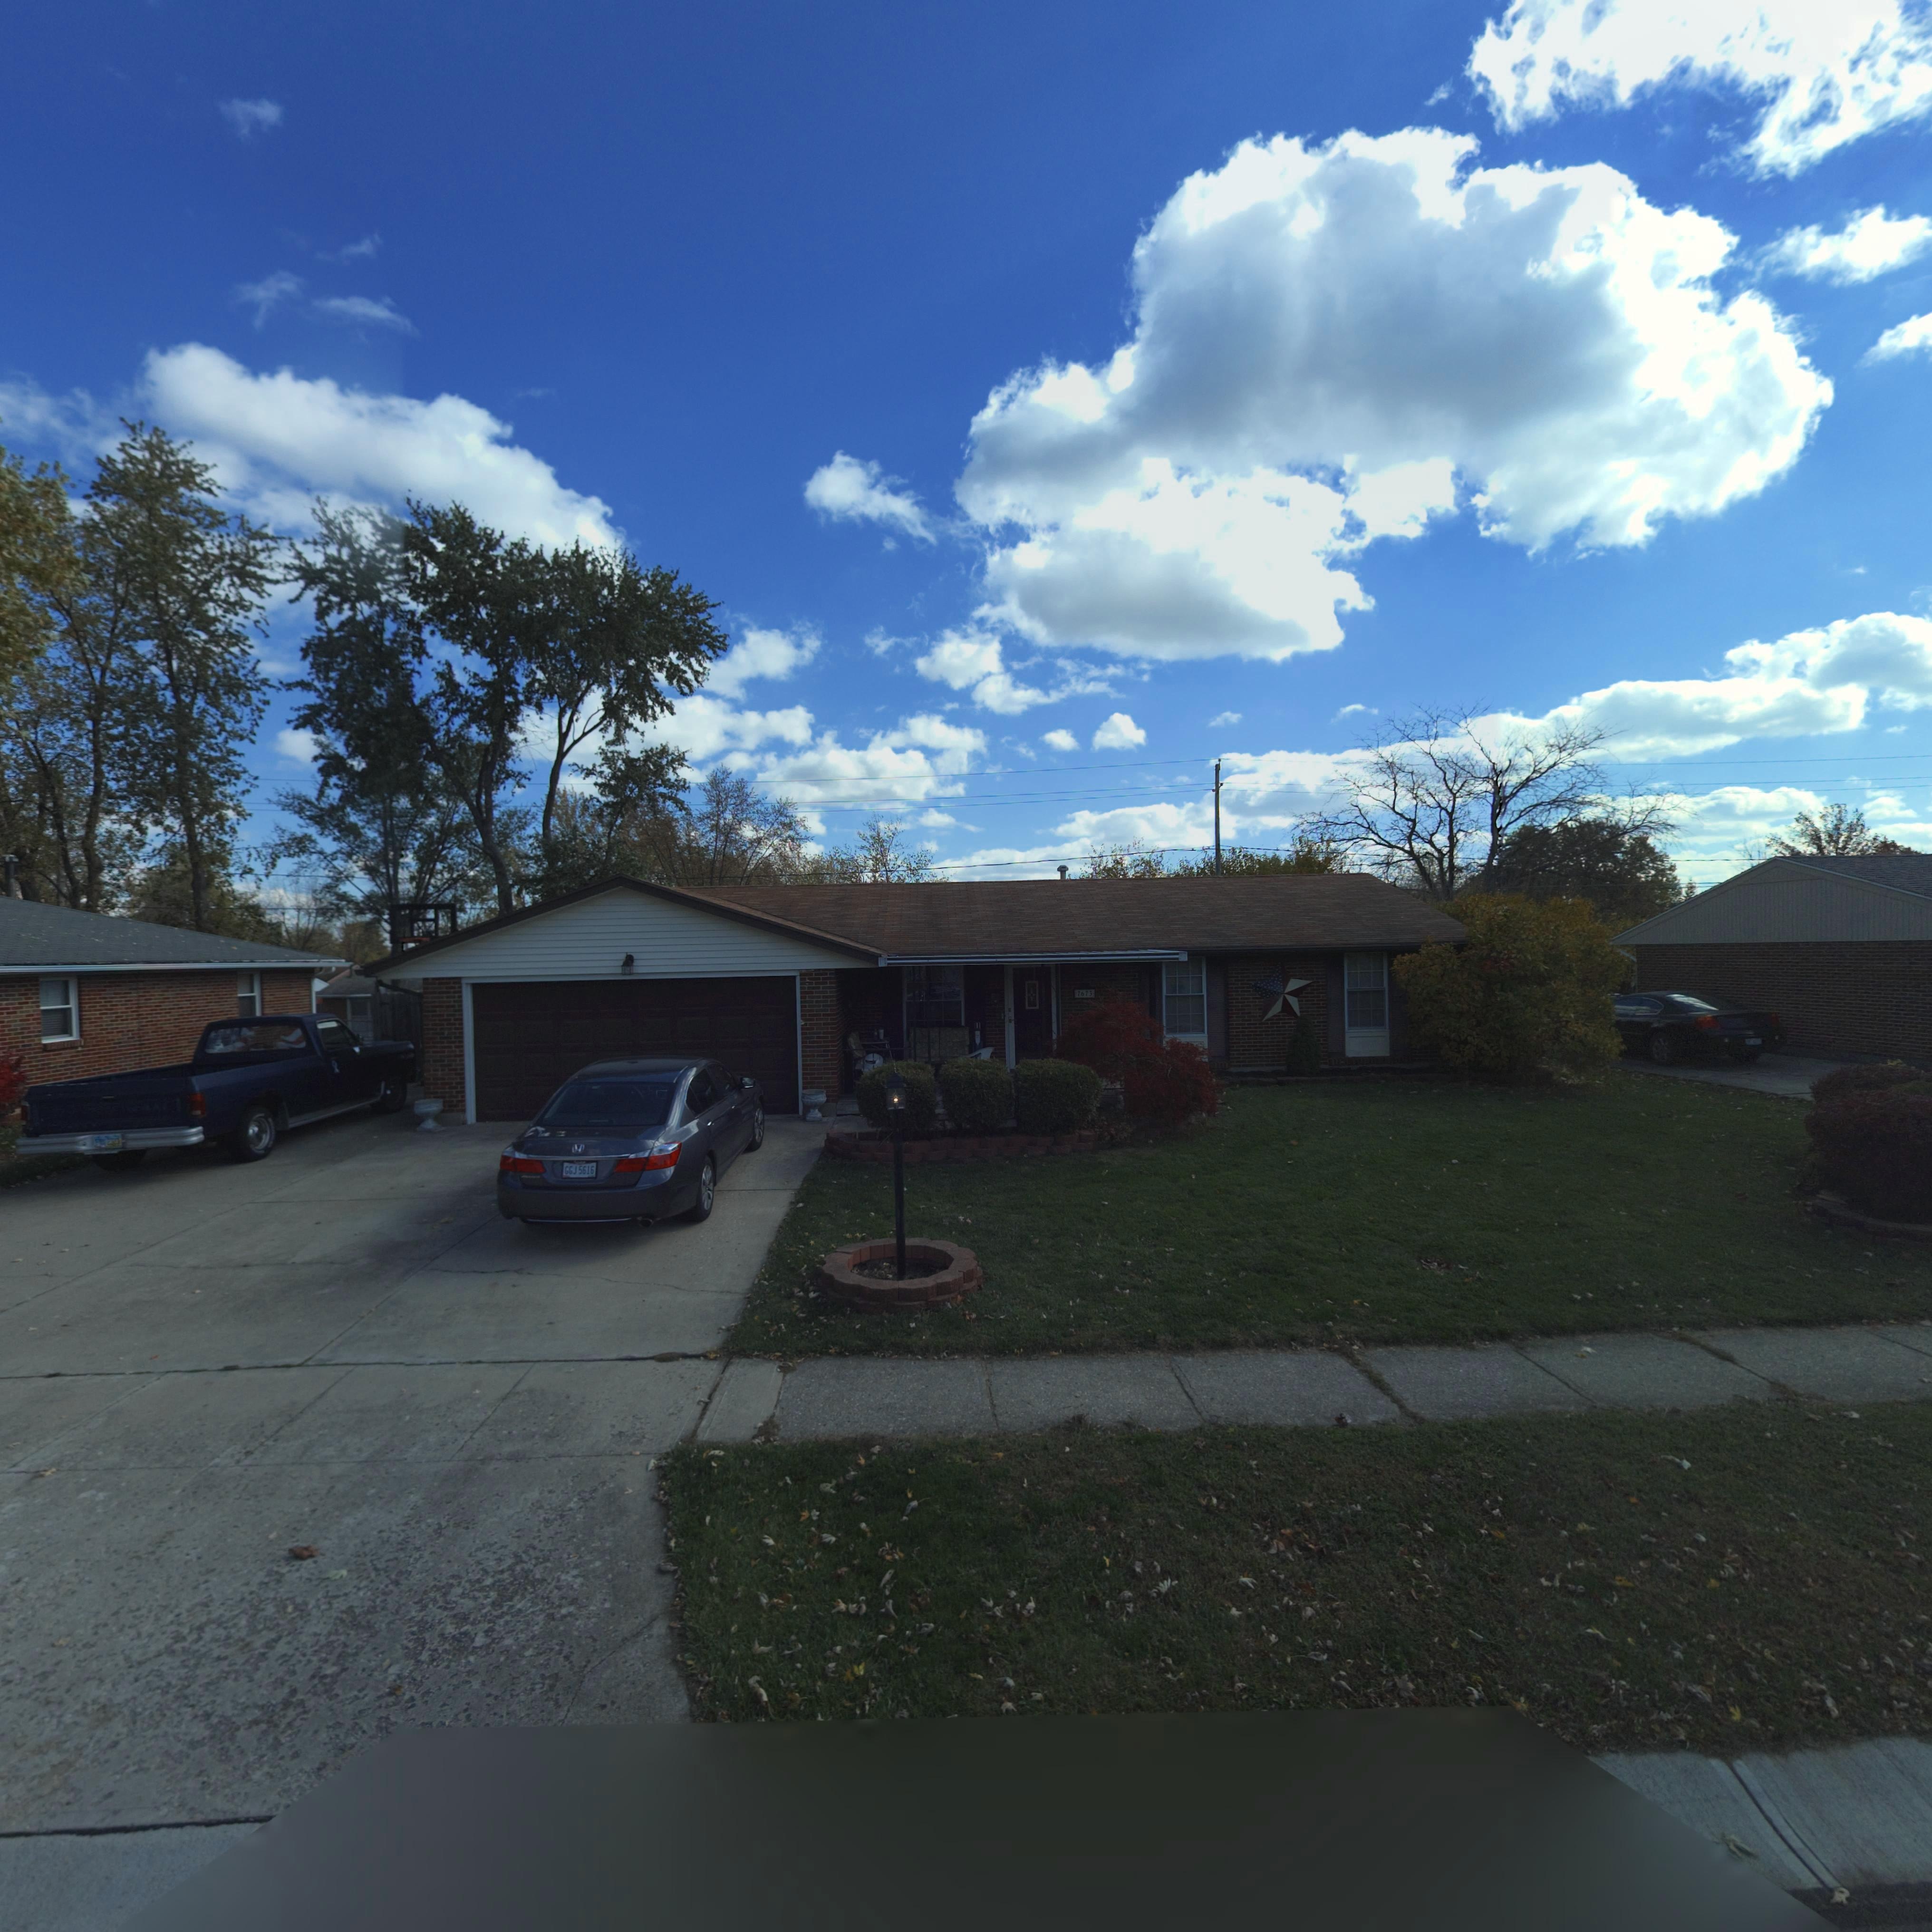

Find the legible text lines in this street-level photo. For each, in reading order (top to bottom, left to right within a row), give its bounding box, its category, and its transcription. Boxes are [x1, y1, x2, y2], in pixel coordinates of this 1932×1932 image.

[1077, 990, 1093, 997] StreetNumber: 7673